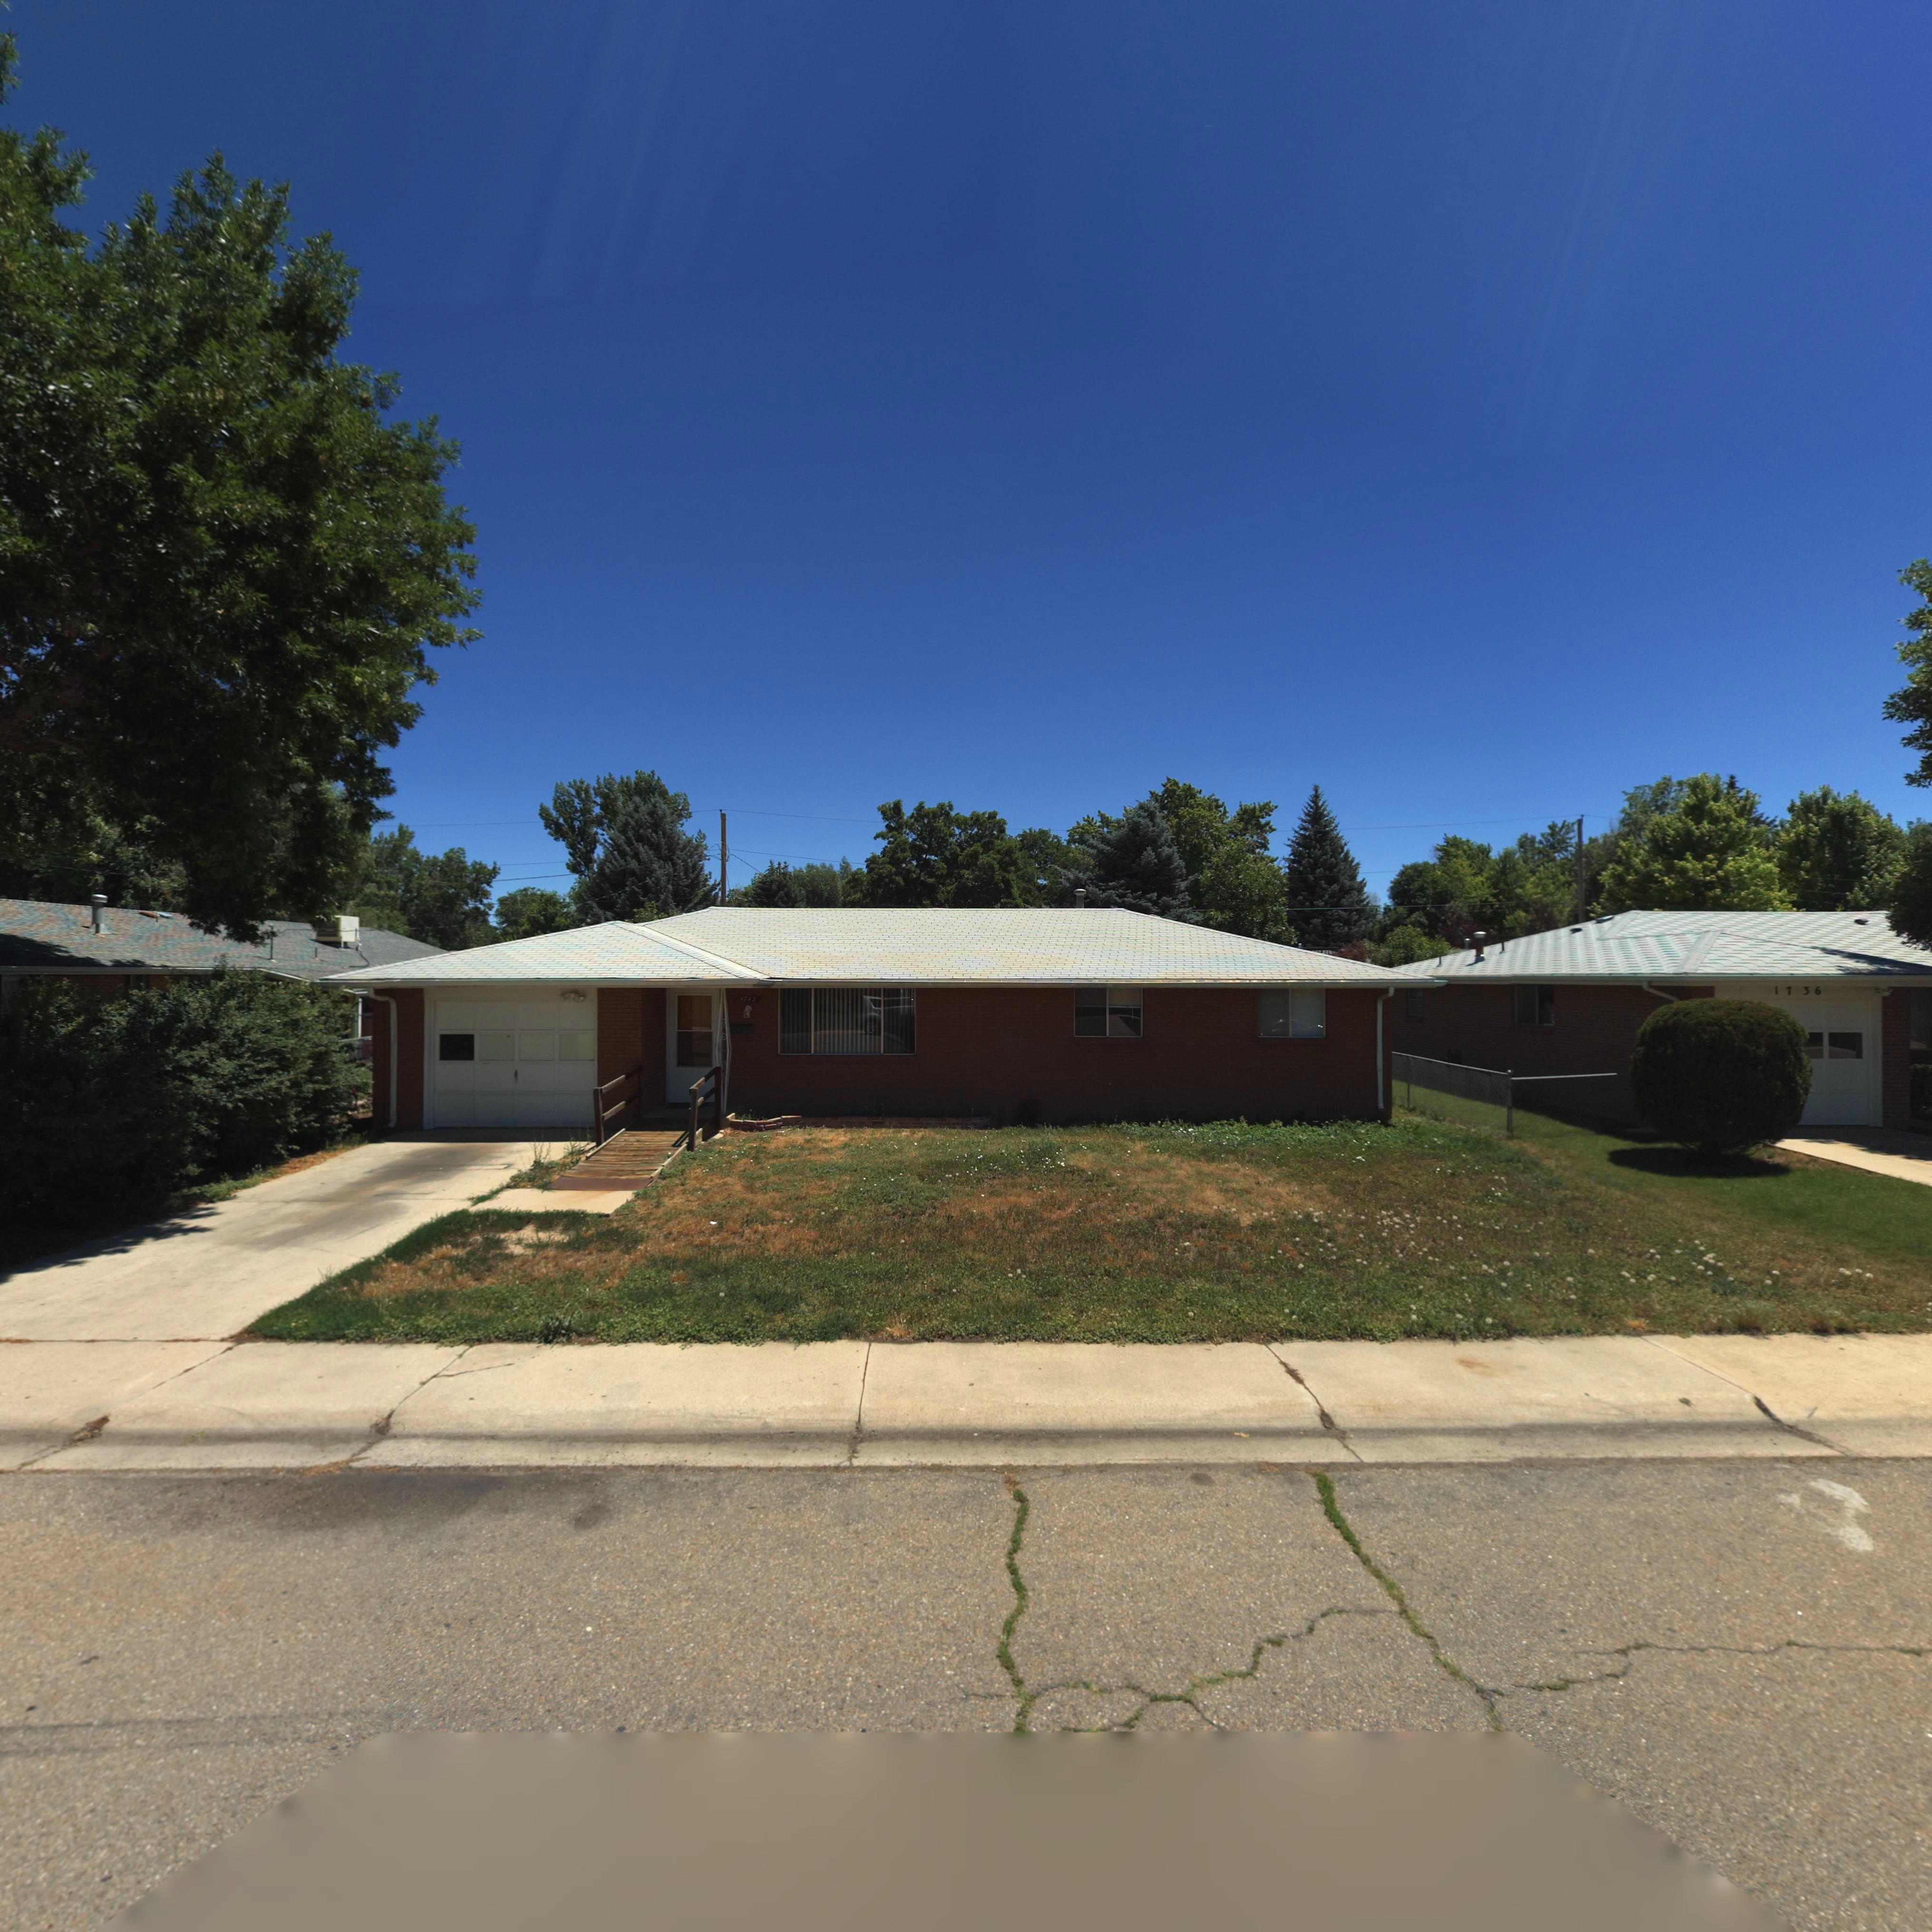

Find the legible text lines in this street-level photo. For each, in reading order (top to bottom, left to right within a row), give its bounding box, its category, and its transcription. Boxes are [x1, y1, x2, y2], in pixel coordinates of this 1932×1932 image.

[1774, 985, 1822, 995] StreetNumber: 1736
[740, 996, 756, 1002] StreetNumber: 1742